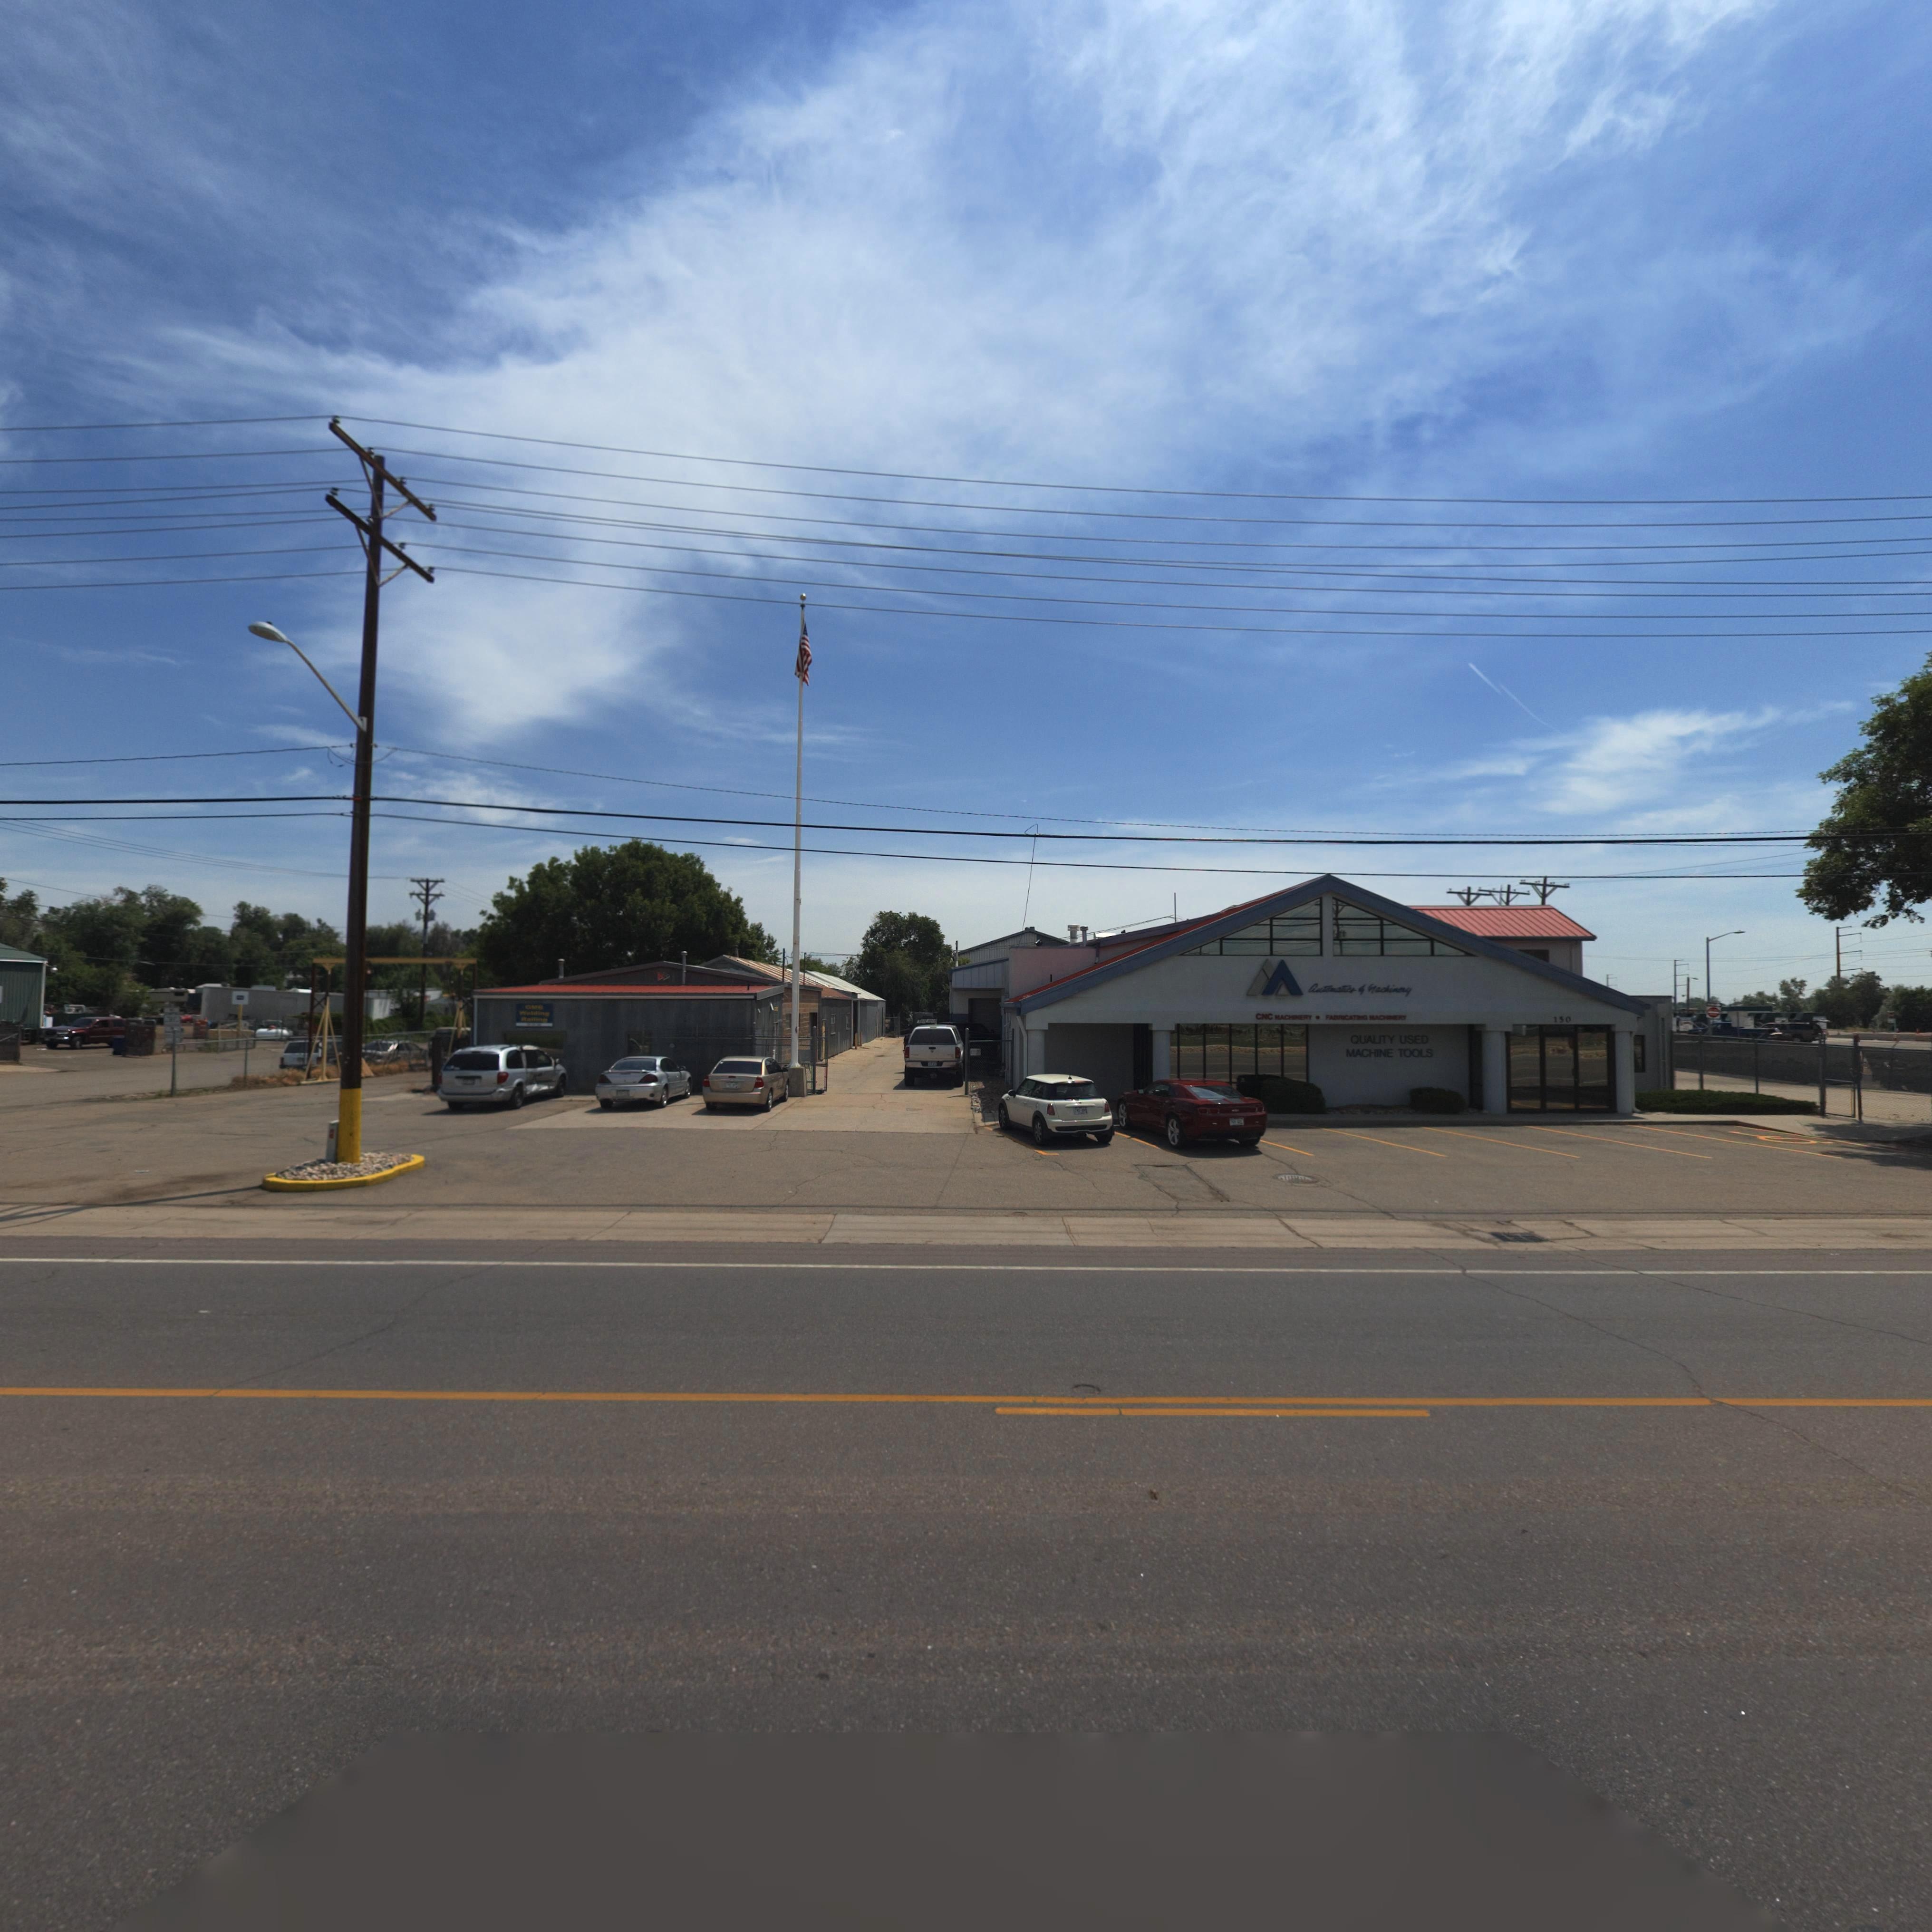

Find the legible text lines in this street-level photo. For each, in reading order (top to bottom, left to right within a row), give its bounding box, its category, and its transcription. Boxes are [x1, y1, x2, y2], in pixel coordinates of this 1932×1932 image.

[1308, 982, 1412, 997] BusinessName: Automatics * Machinery
[525, 1005, 543, 1010] BusinessName: GMB
[519, 1010, 549, 1016] BusinessName: Welding
[521, 1016, 547, 1023] BusinessName: Welding
[1554, 1015, 1571, 1023] StreetNumber: 150